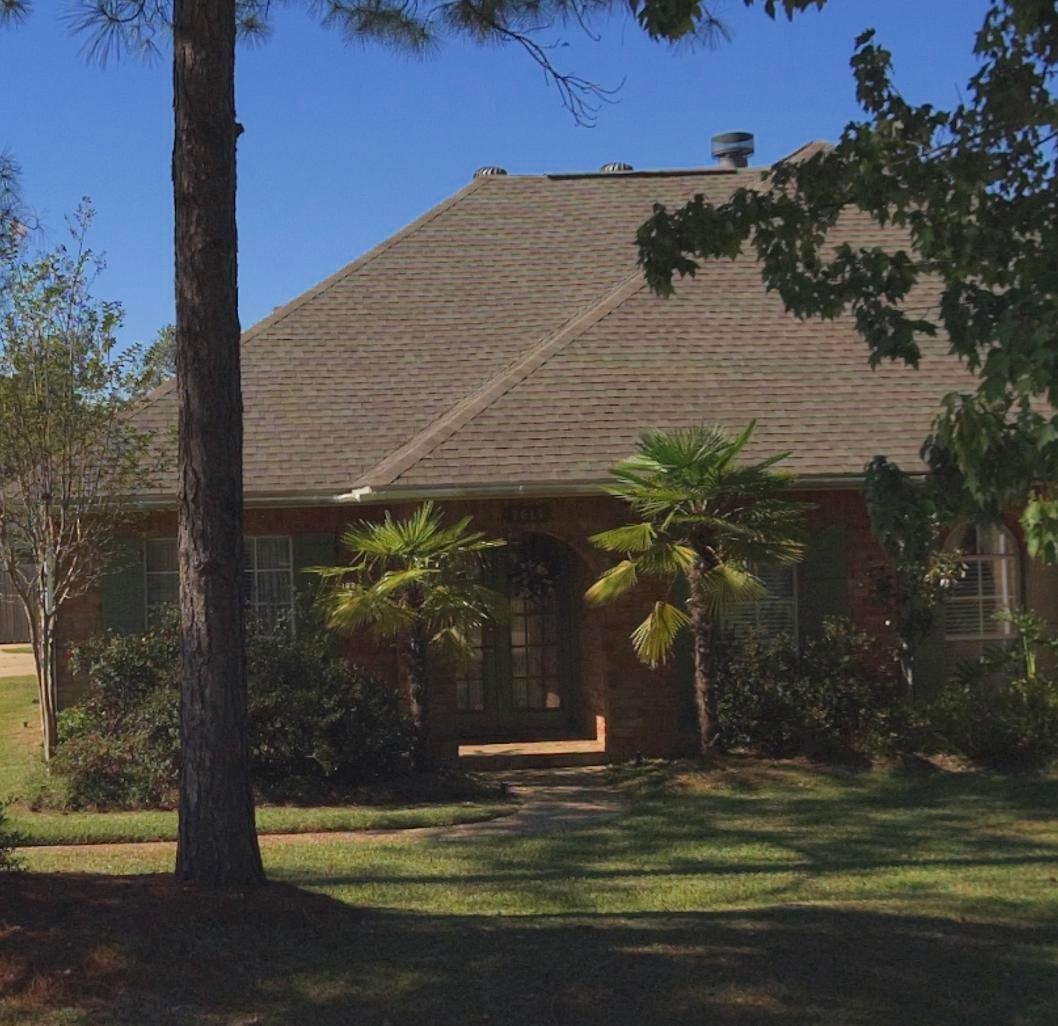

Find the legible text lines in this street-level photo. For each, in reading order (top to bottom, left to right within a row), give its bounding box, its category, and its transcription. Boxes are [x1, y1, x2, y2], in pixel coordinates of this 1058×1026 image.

[510, 508, 543, 521] StreetNumber: 7614